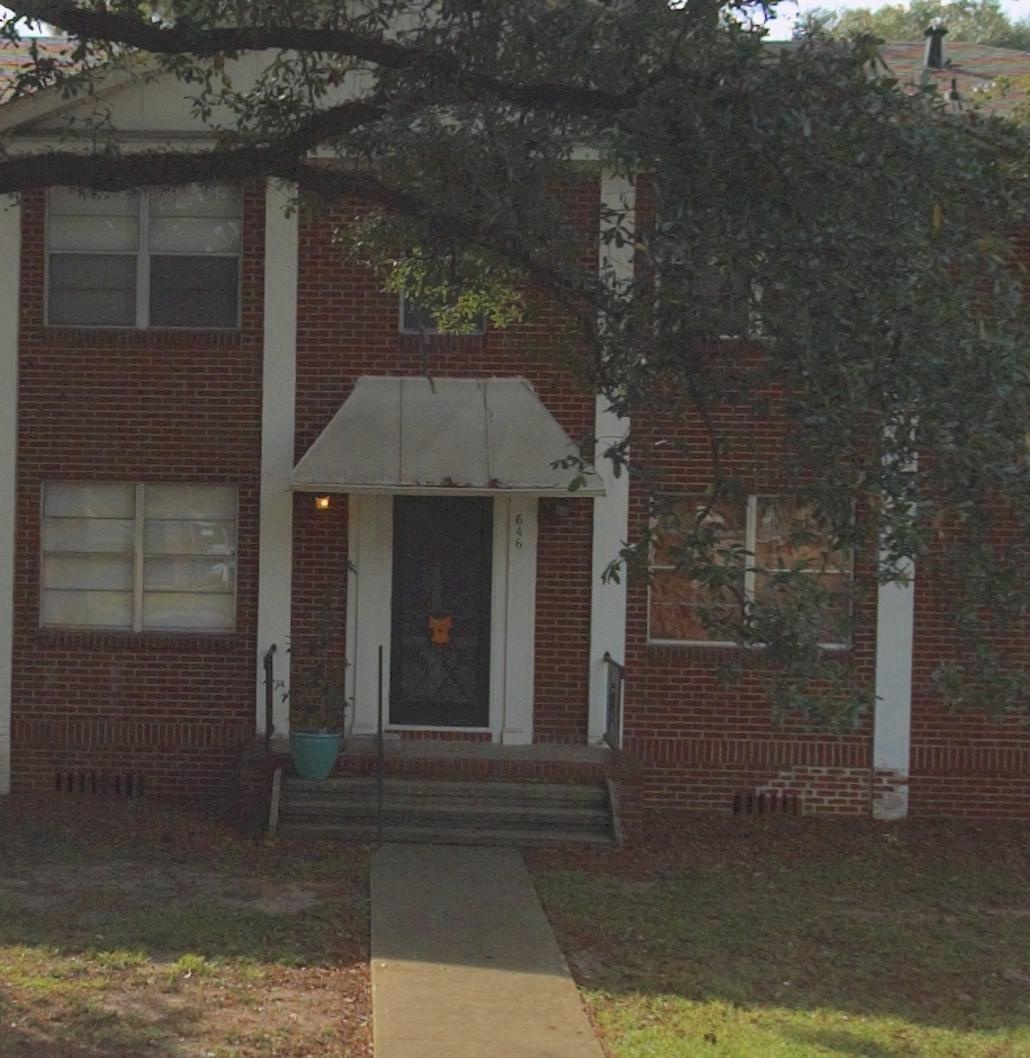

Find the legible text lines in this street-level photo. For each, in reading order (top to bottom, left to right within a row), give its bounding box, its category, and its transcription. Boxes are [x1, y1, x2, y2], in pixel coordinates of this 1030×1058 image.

[514, 511, 525, 551] StreetNumber: 646